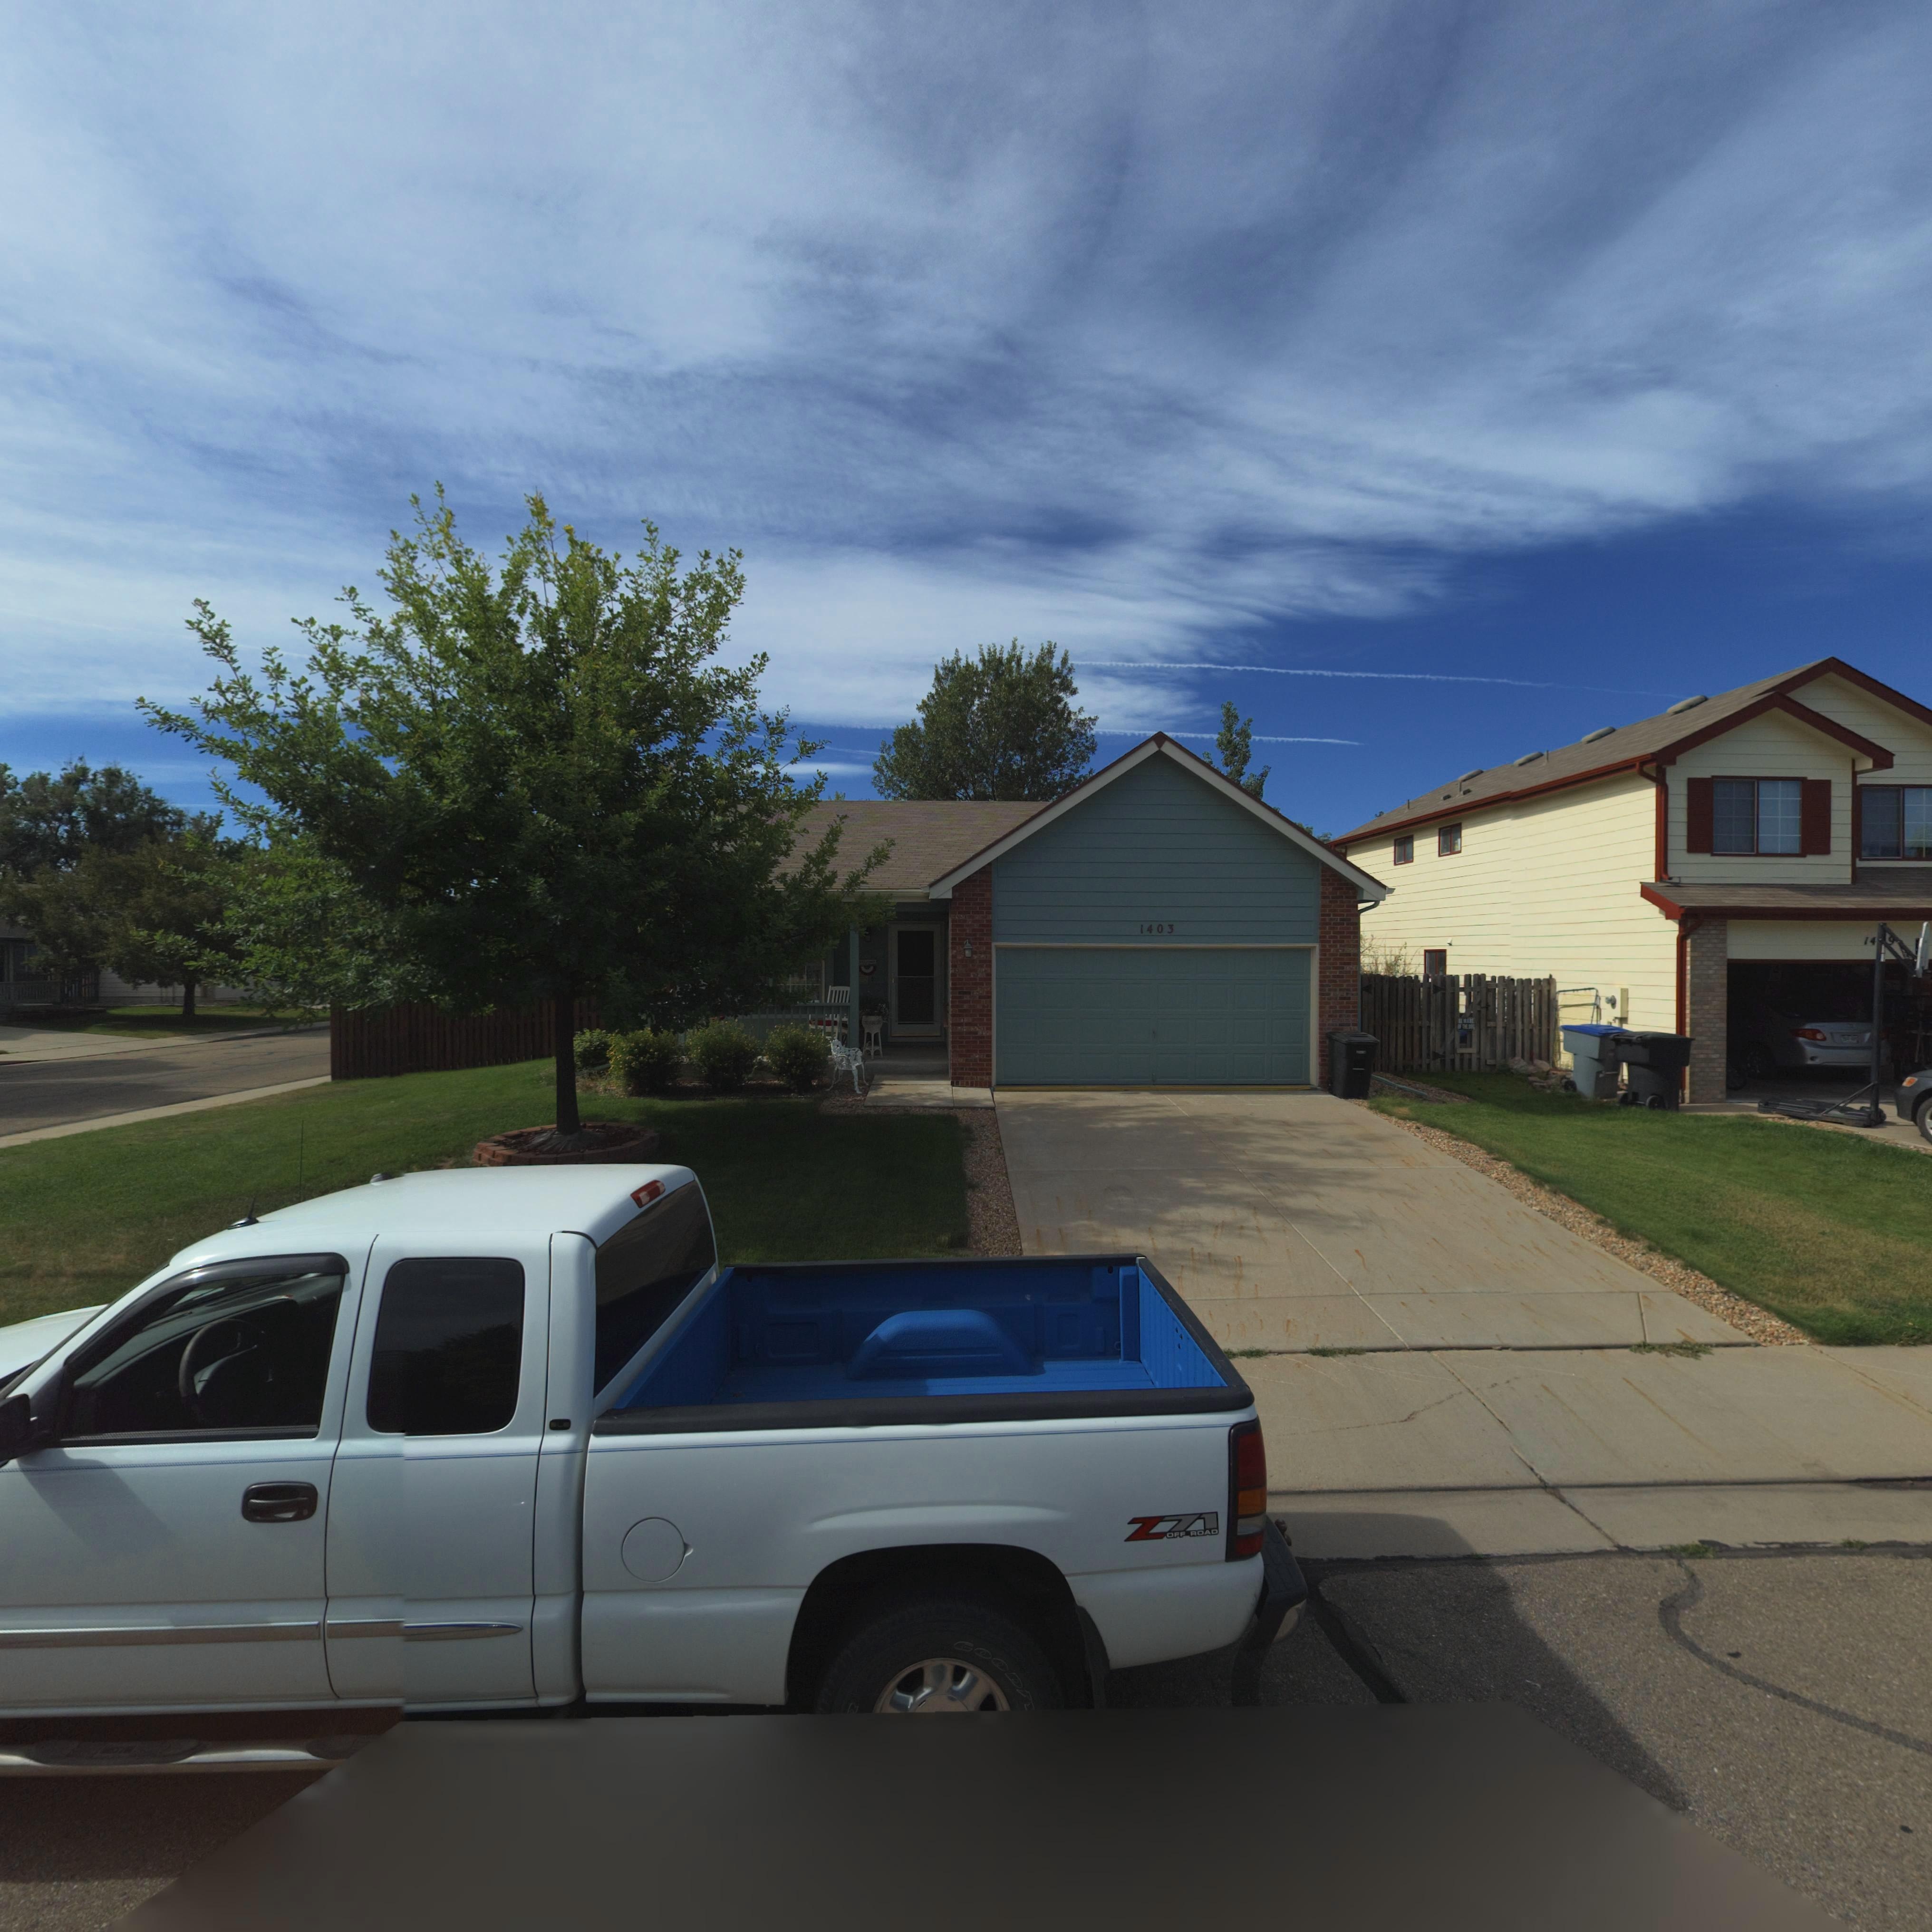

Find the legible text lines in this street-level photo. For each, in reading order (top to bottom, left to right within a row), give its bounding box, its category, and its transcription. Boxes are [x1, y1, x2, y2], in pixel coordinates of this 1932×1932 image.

[1139, 923, 1174, 934] StreetNumber: 1403
[1862, 936, 1896, 946] StreetNumber: 14*9